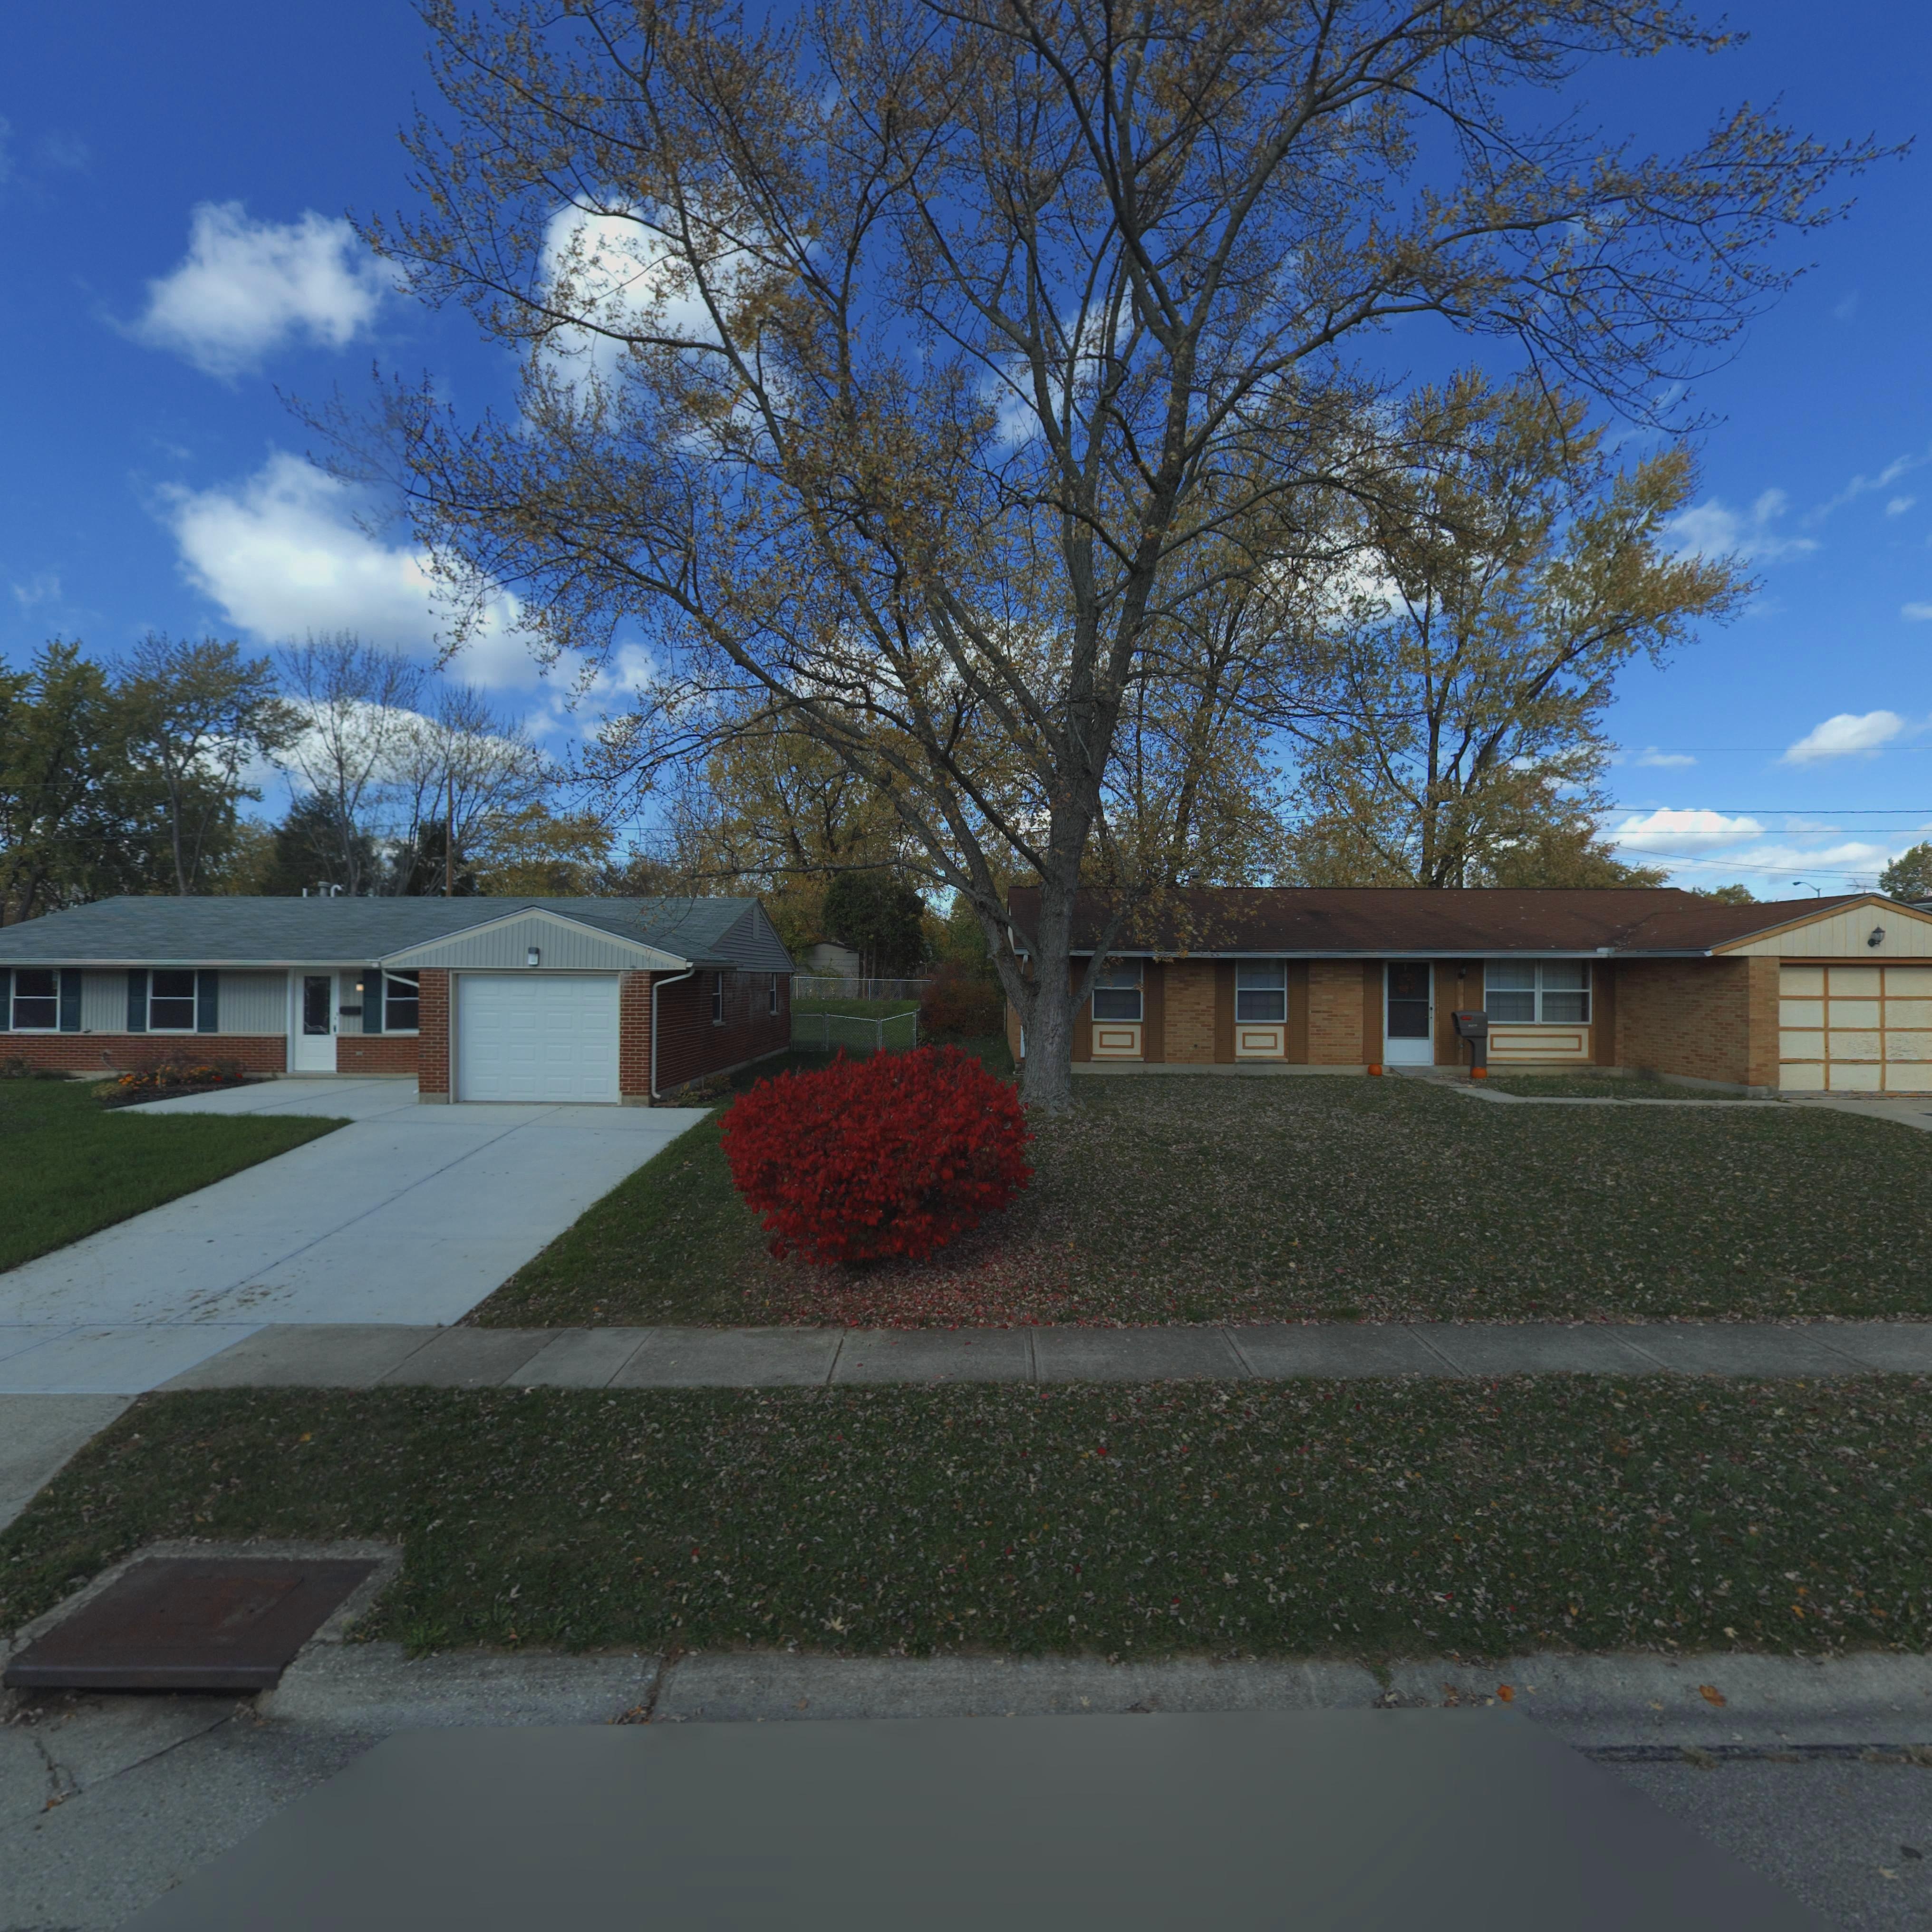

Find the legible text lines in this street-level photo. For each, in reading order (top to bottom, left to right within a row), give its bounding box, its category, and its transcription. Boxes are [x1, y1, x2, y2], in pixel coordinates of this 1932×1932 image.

[342, 985, 350, 1005] StreetNumber: 5**